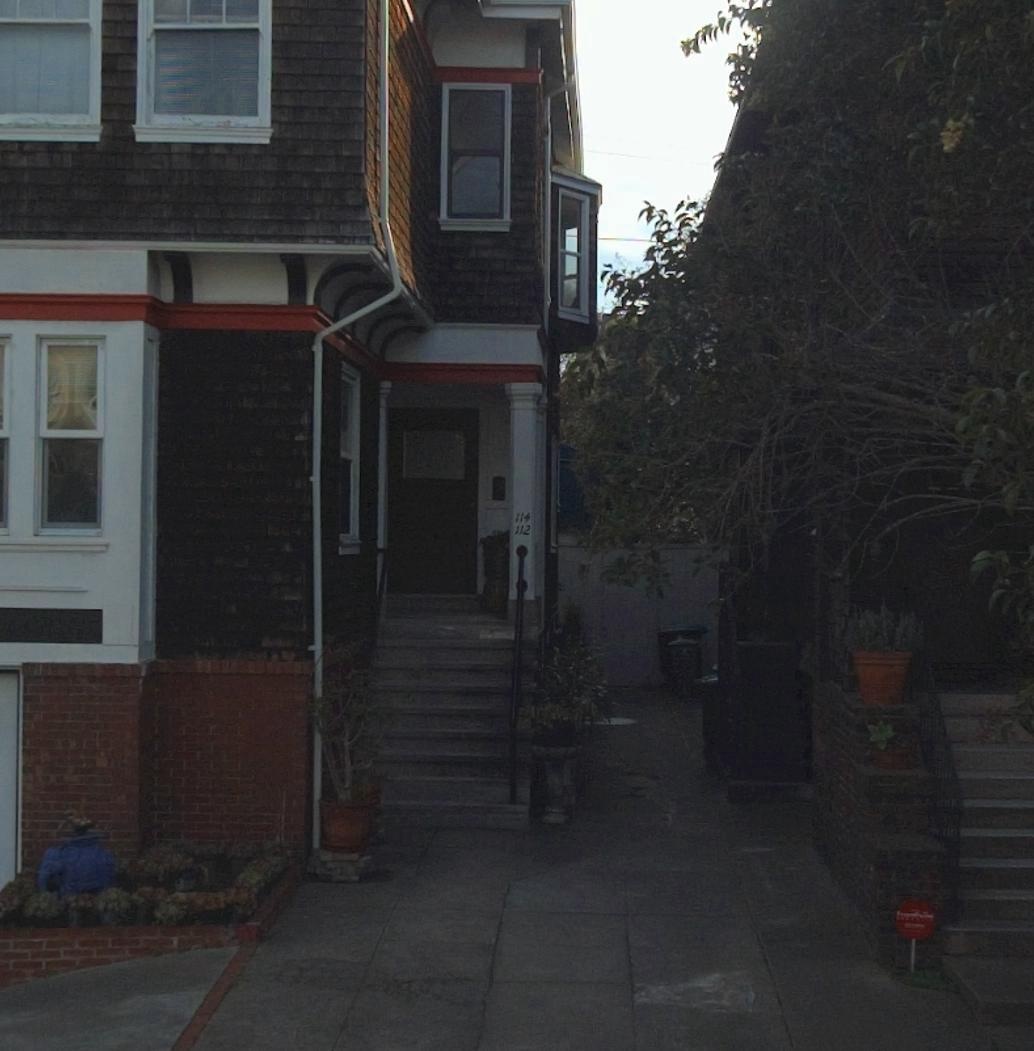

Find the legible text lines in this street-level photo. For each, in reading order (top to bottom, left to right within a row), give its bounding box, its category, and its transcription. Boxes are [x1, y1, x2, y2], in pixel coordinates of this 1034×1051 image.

[511, 510, 533, 525] StreetNumber: 114
[511, 523, 532, 538] StreetNumber: 112